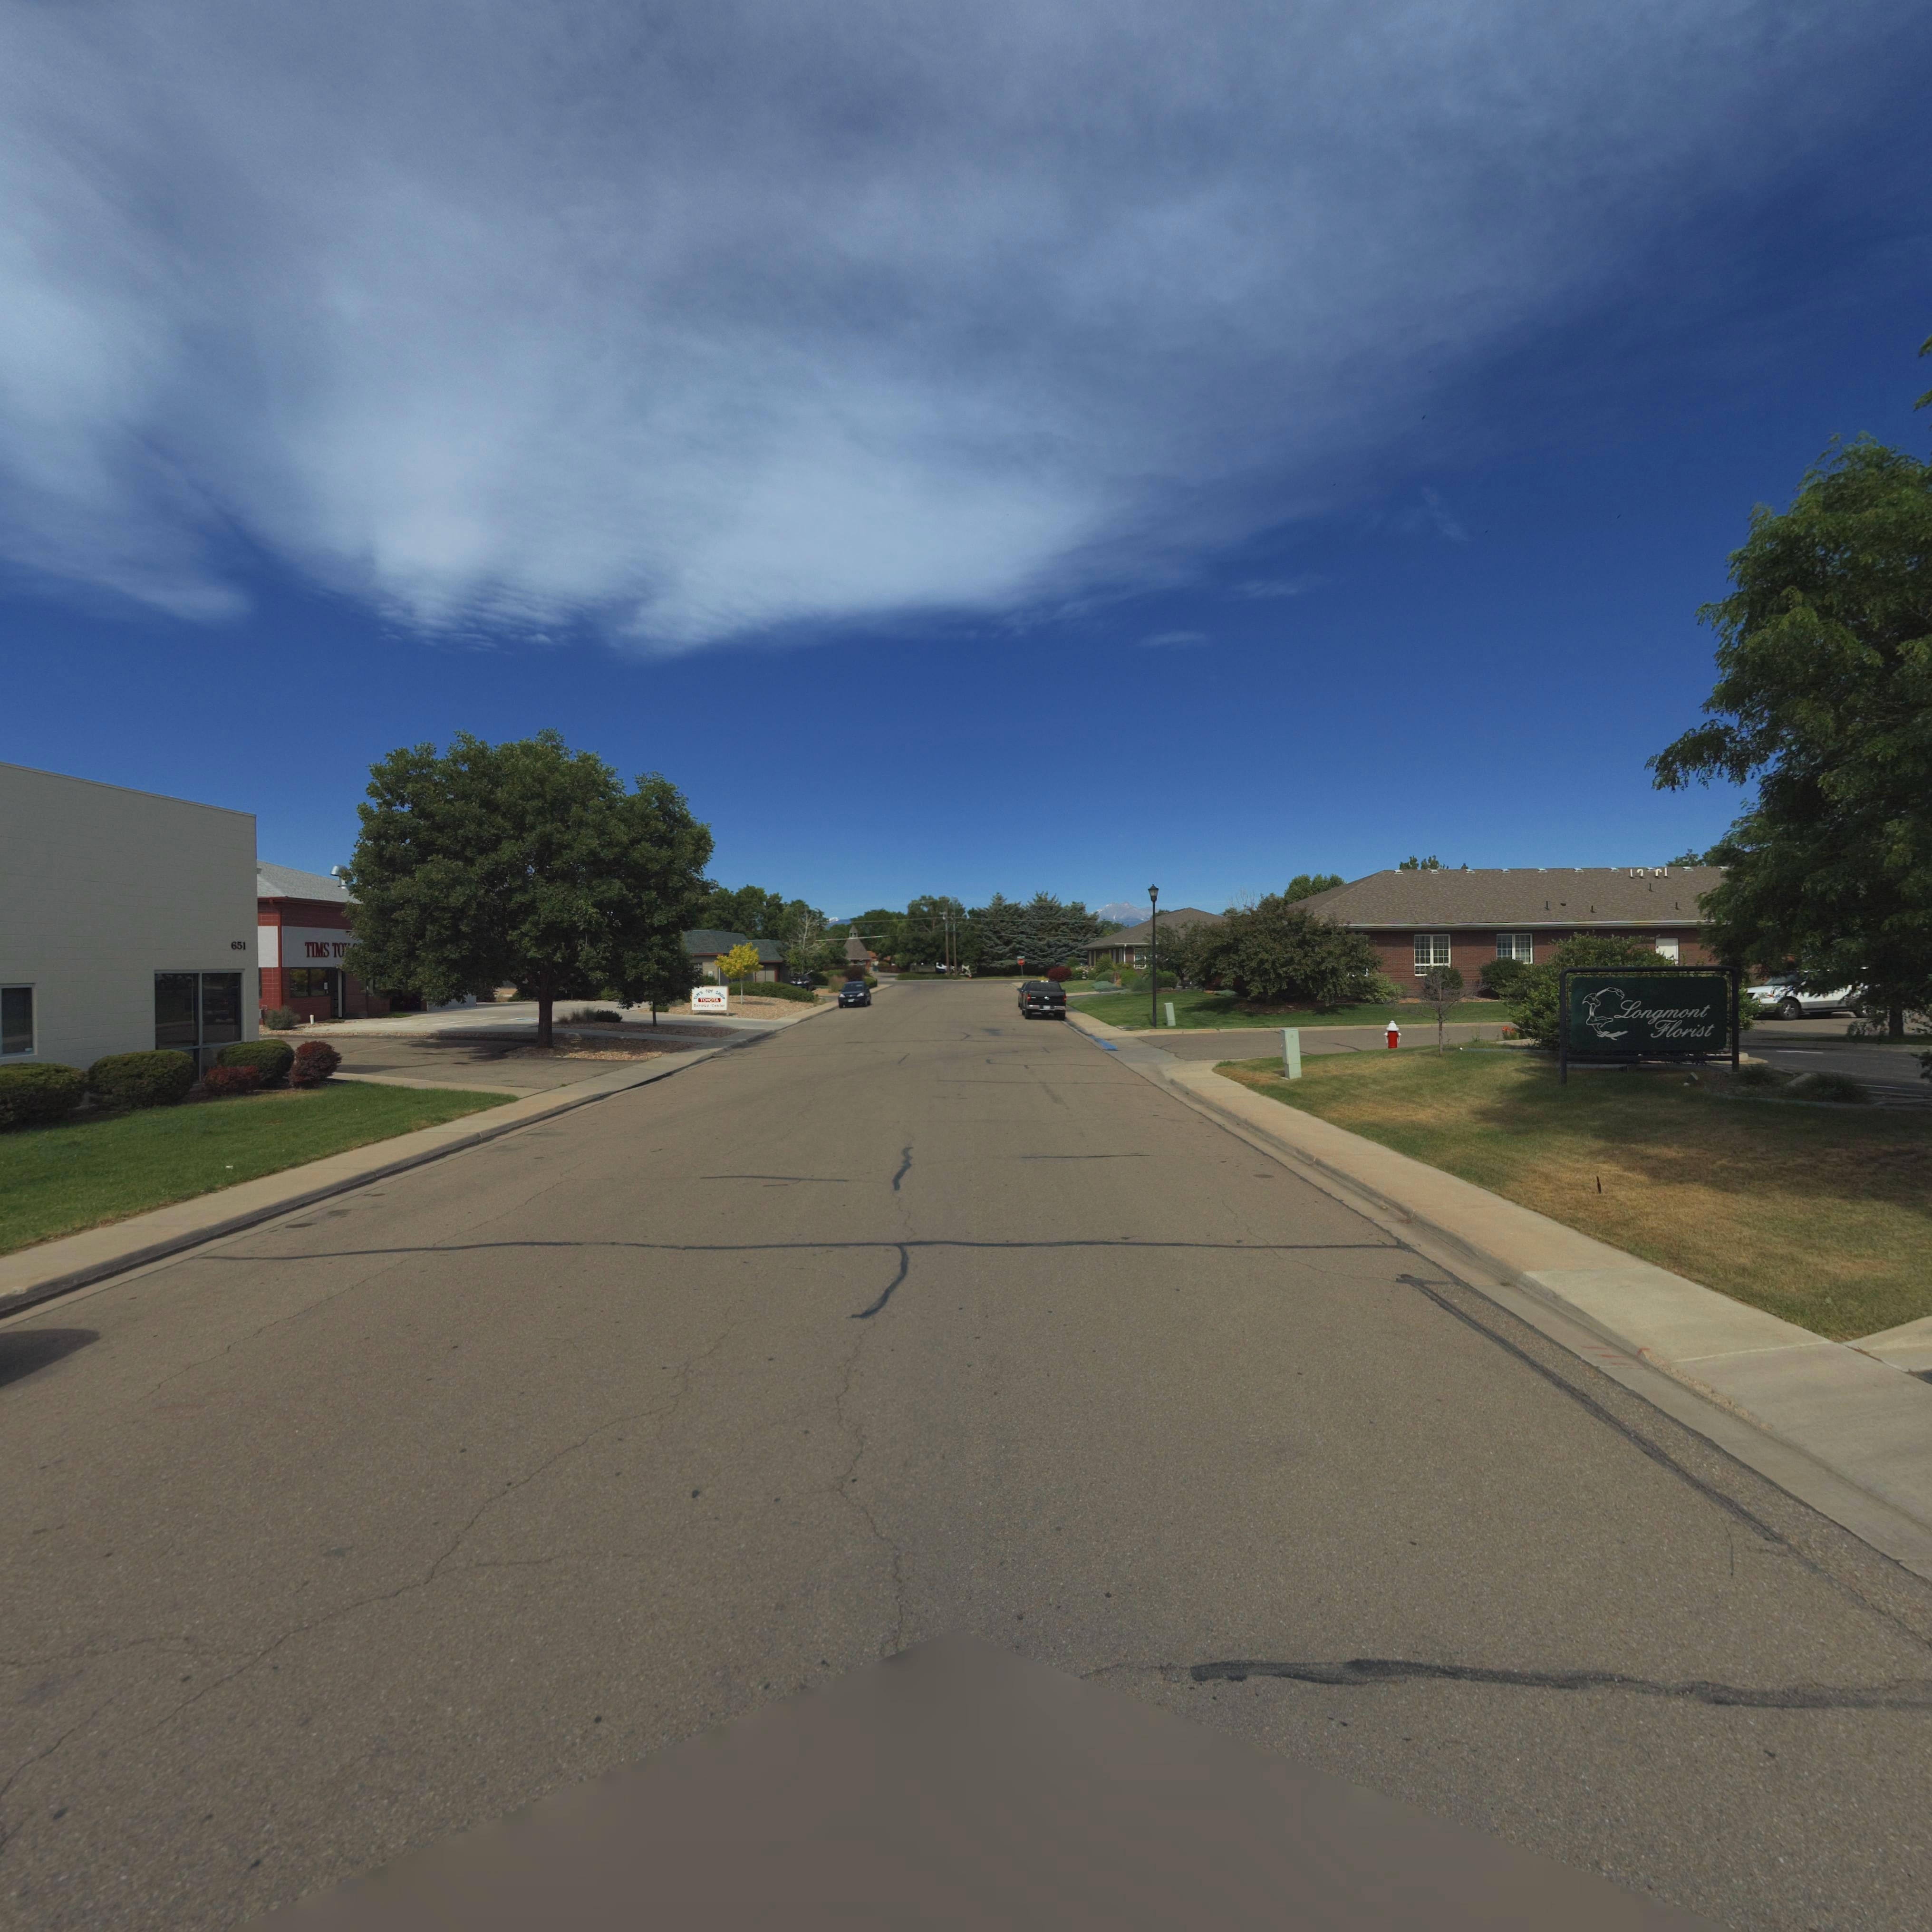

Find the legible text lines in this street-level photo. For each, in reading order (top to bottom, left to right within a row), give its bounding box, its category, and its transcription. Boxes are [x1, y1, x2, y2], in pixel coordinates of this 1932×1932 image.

[231, 941, 246, 950] StreetNumber: 651
[304, 941, 345, 957] BusinessName: TIMS TO
[693, 989, 725, 999] BusinessName: *IMS *O* *HO*
[1613, 999, 1710, 1024] BusinessName: Longmont
[1650, 1019, 1715, 1038] BusinessName: Florist